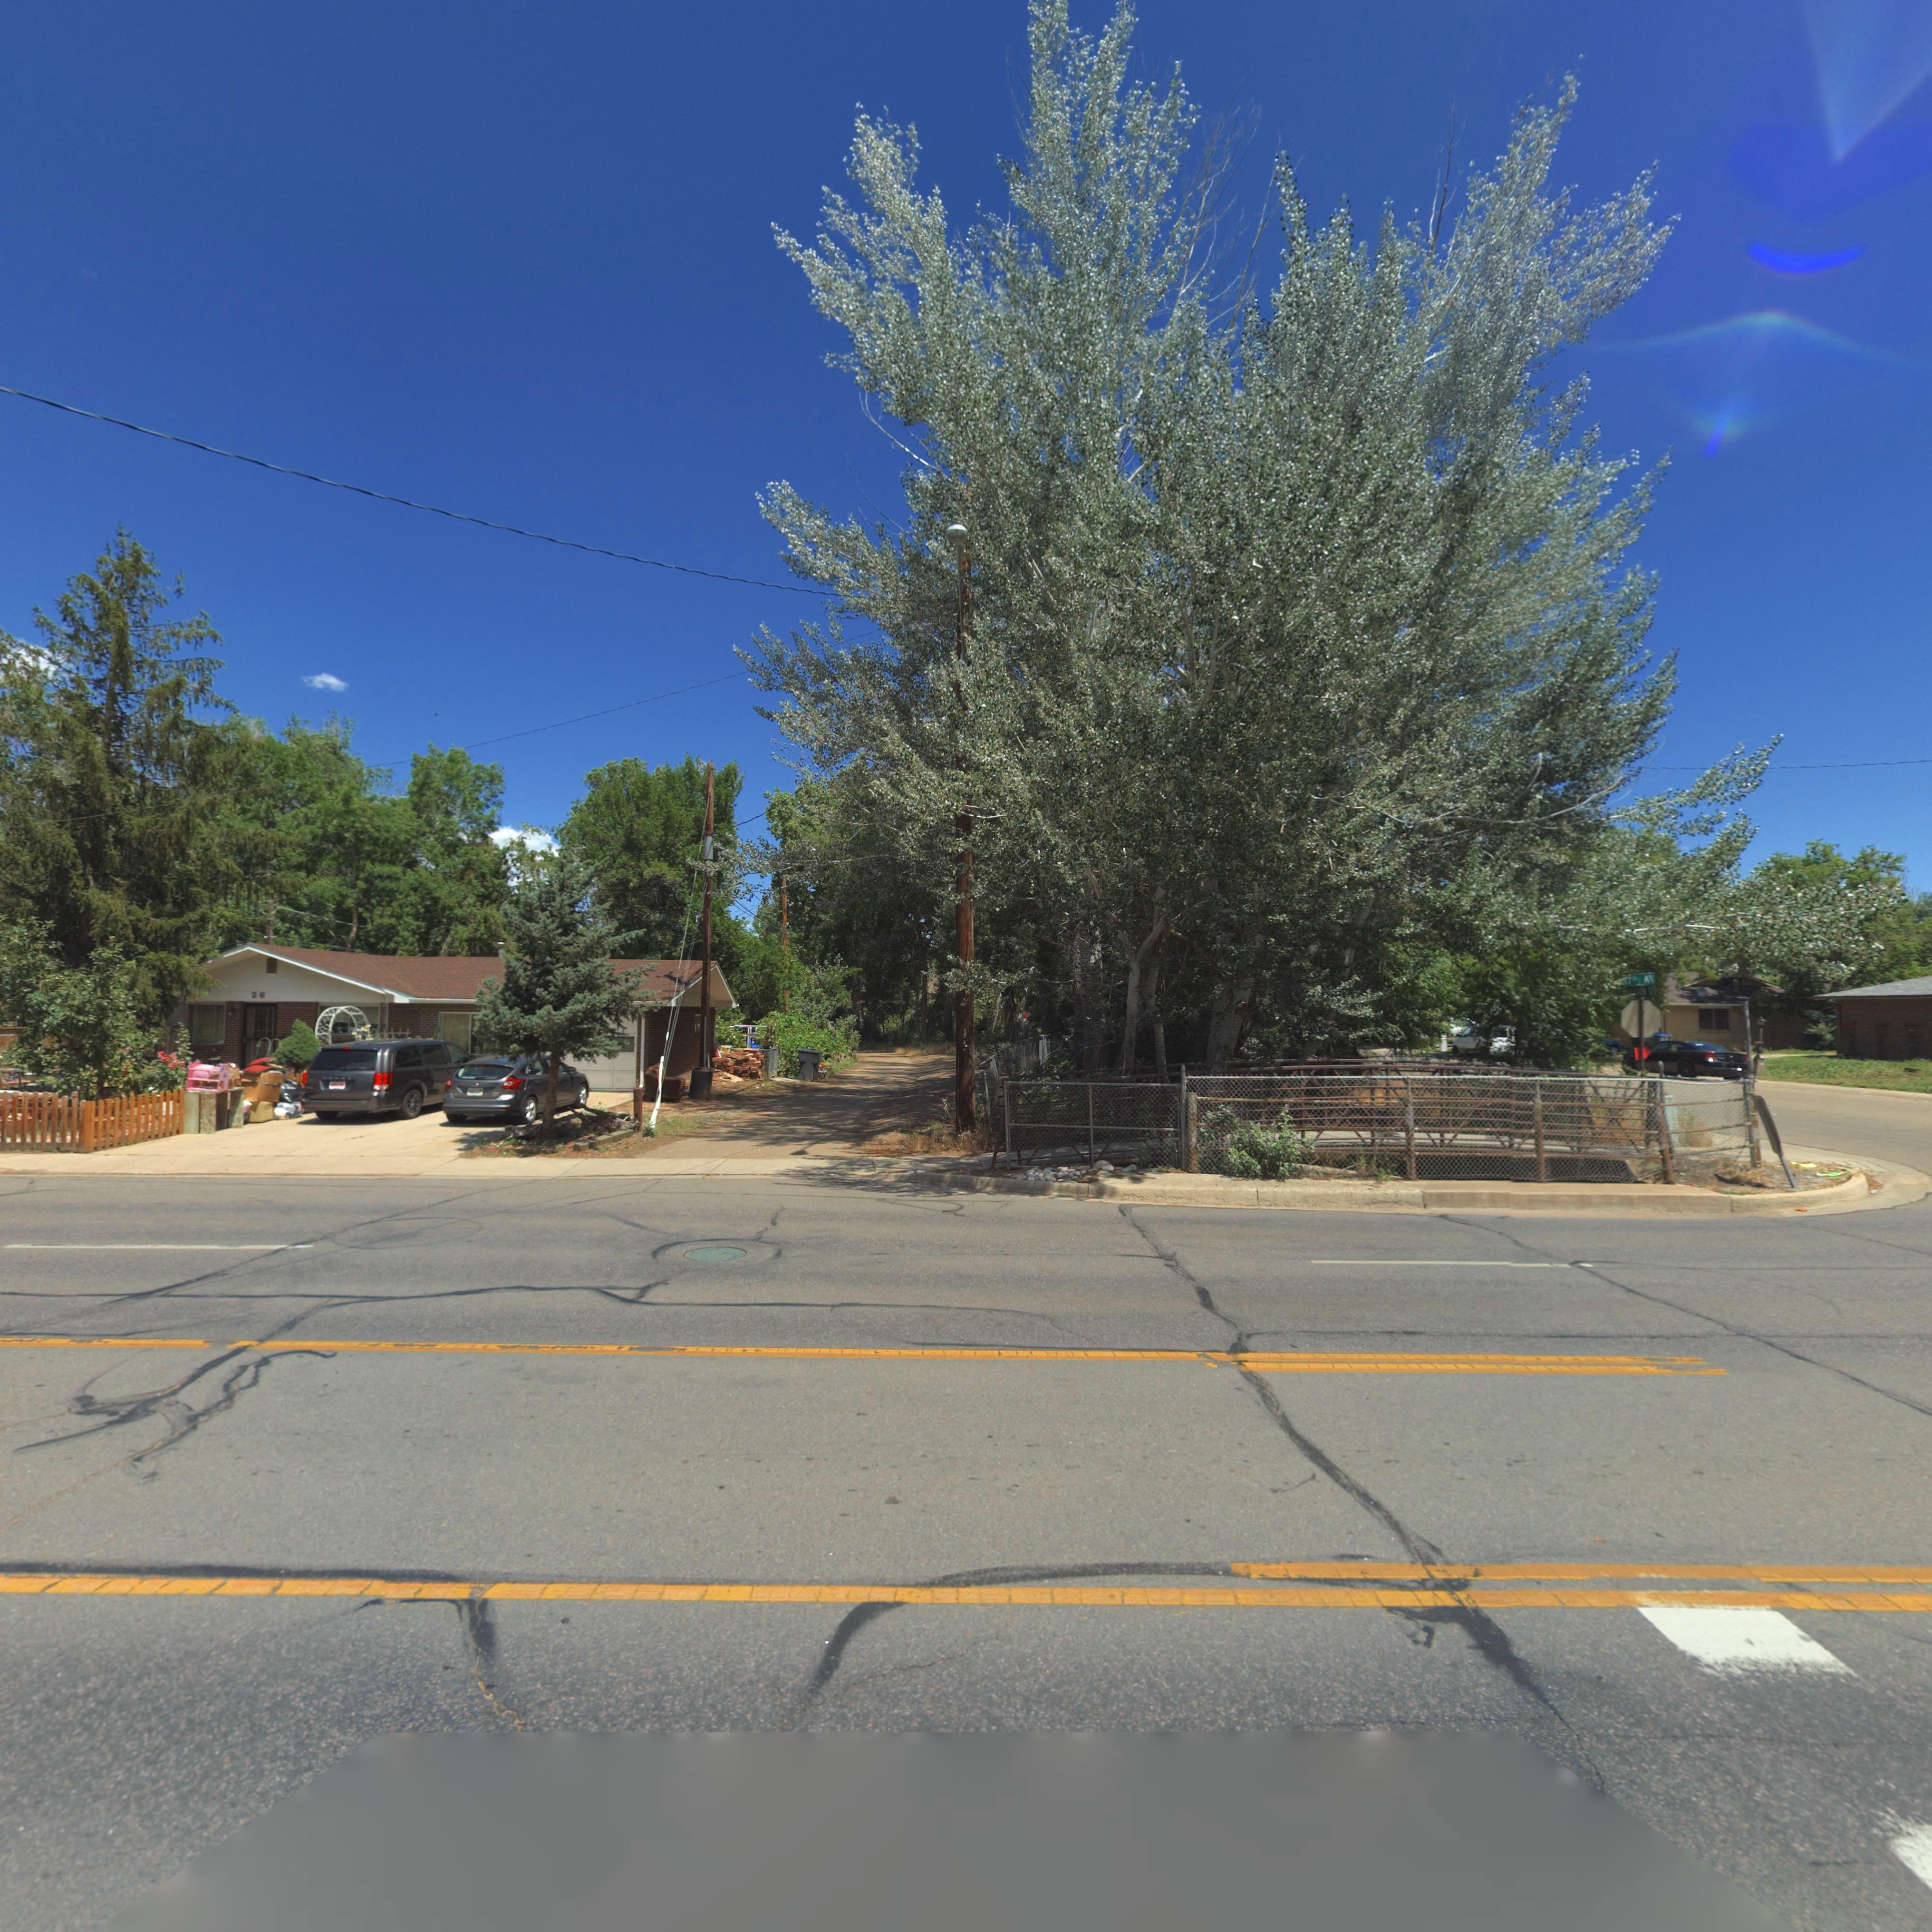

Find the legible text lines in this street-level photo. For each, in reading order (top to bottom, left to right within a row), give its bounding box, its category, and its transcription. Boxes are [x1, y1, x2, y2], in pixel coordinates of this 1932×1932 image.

[1625, 974, 1654, 985] StreetName: 17** AV